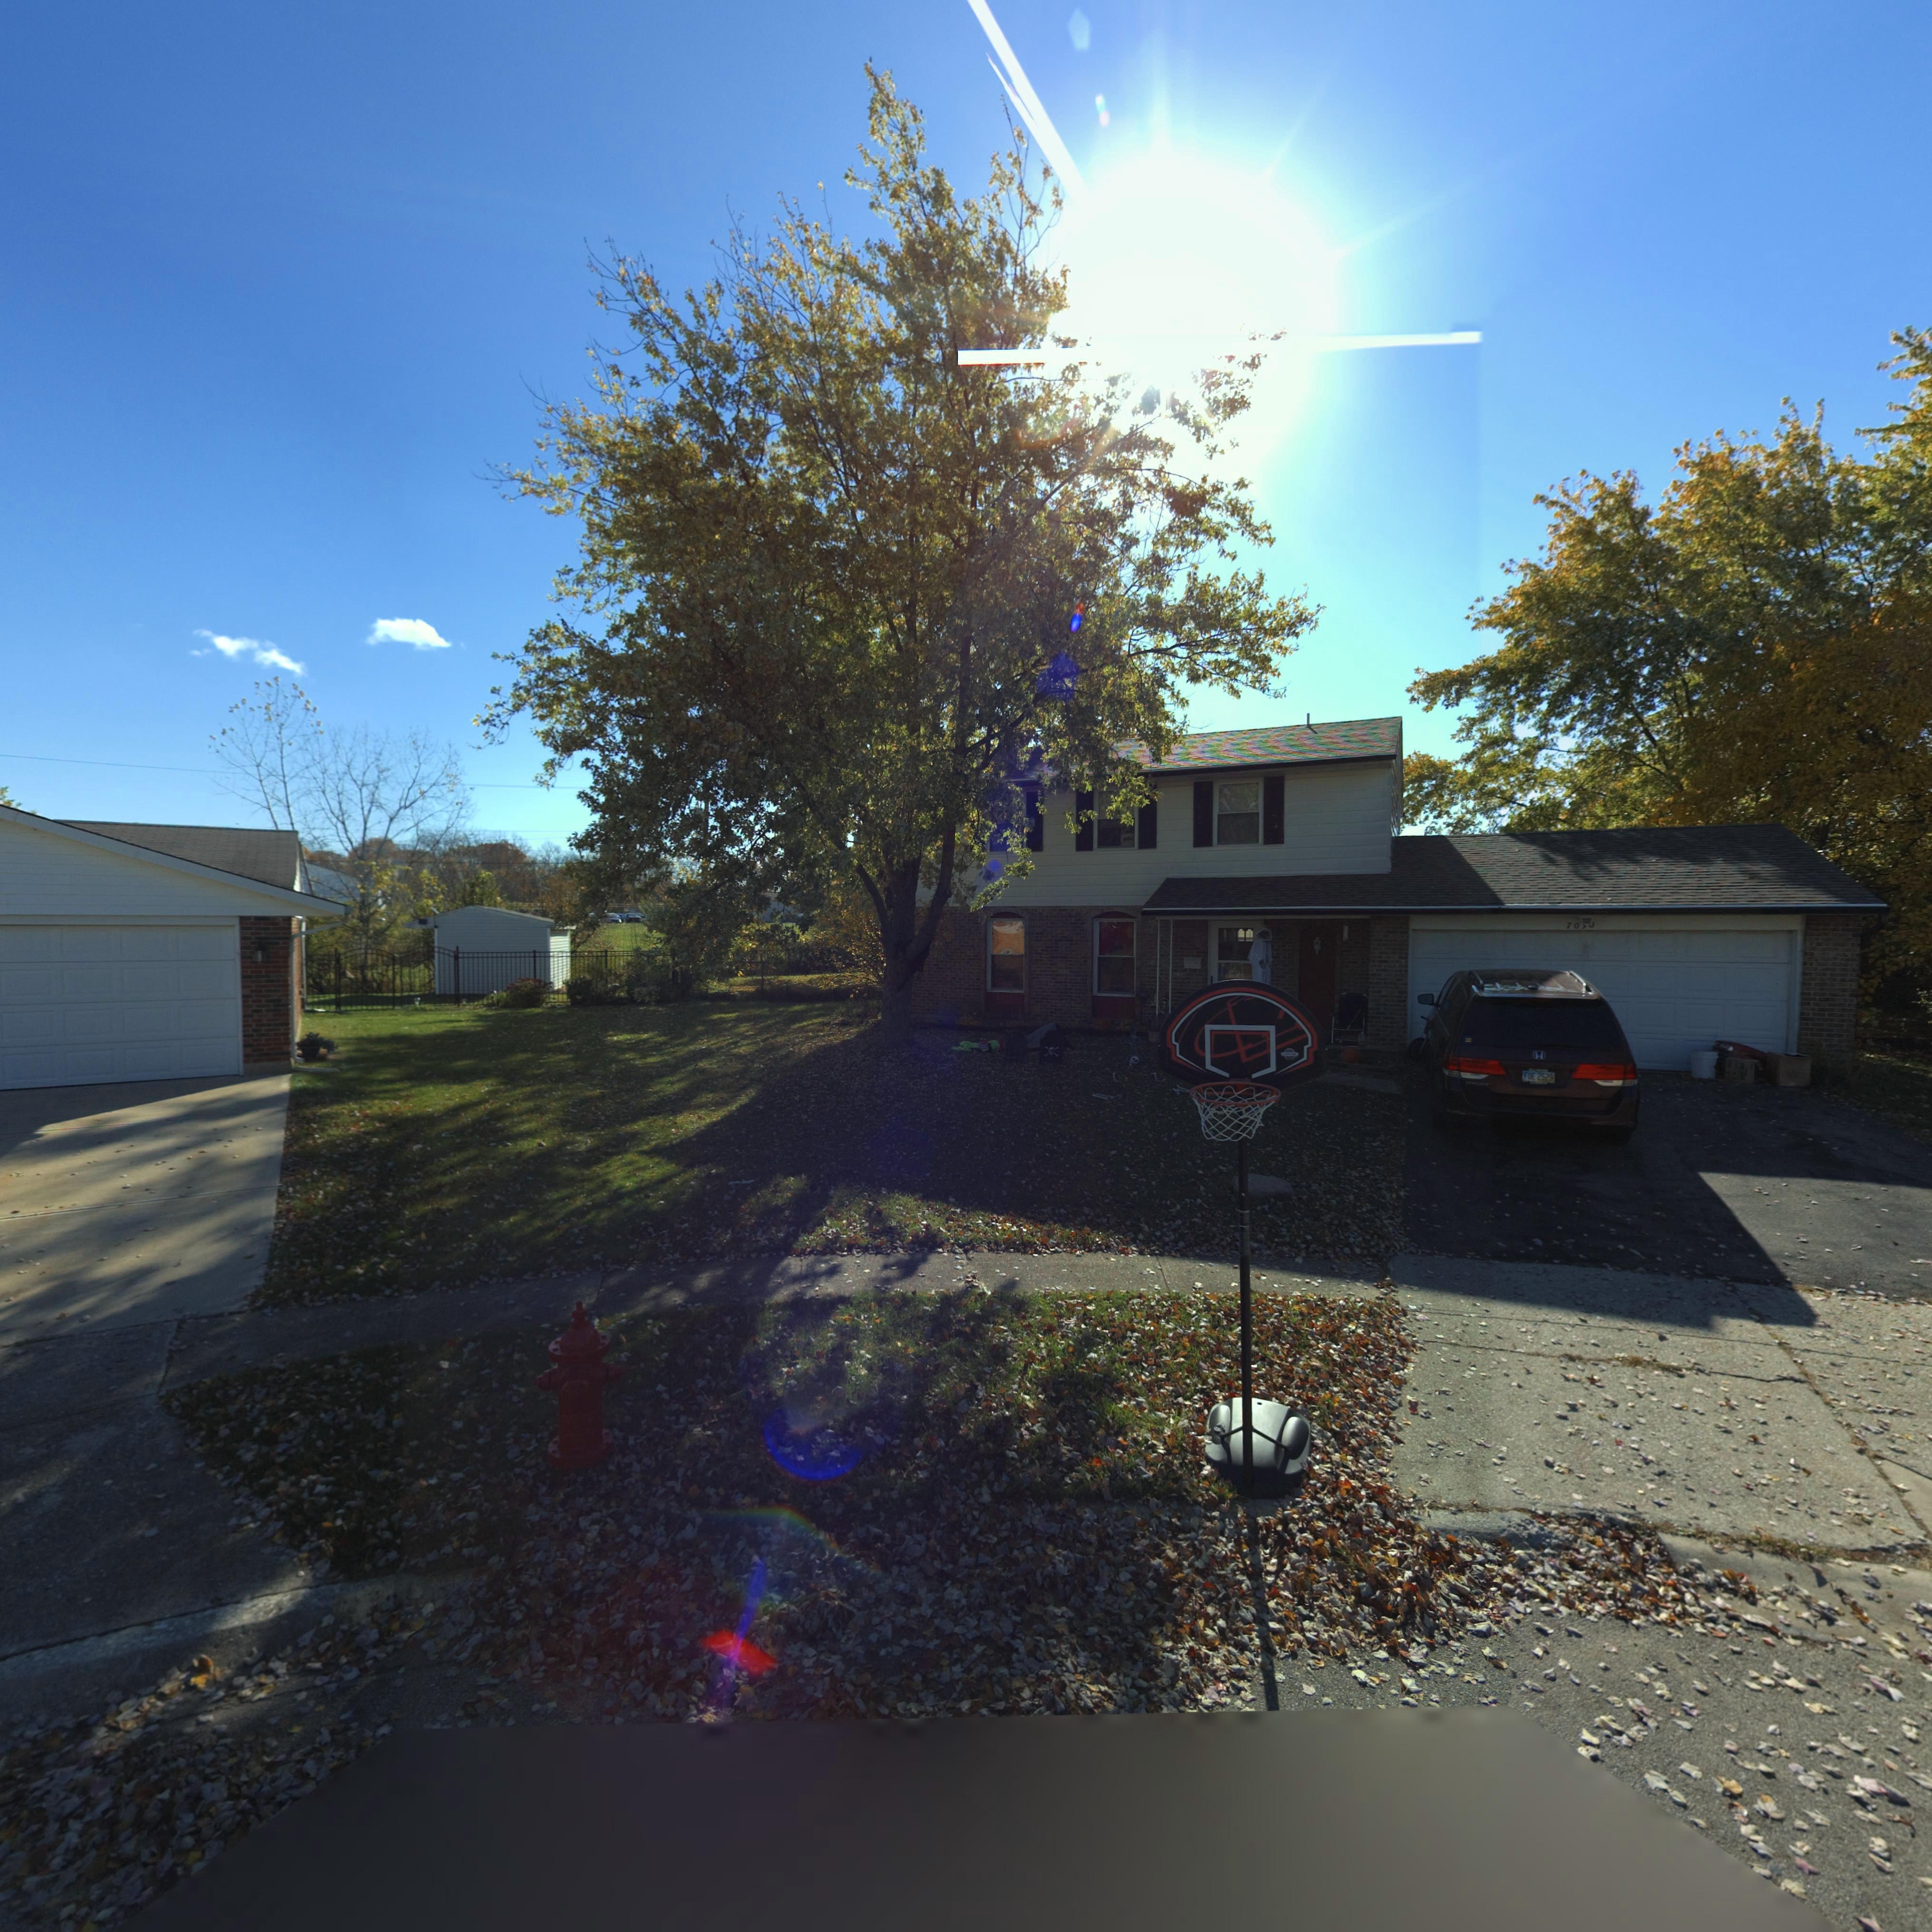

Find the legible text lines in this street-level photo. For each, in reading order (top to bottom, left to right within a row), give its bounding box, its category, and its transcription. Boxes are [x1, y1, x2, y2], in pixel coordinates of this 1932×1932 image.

[1566, 922, 1580, 929] StreetNumber: 70